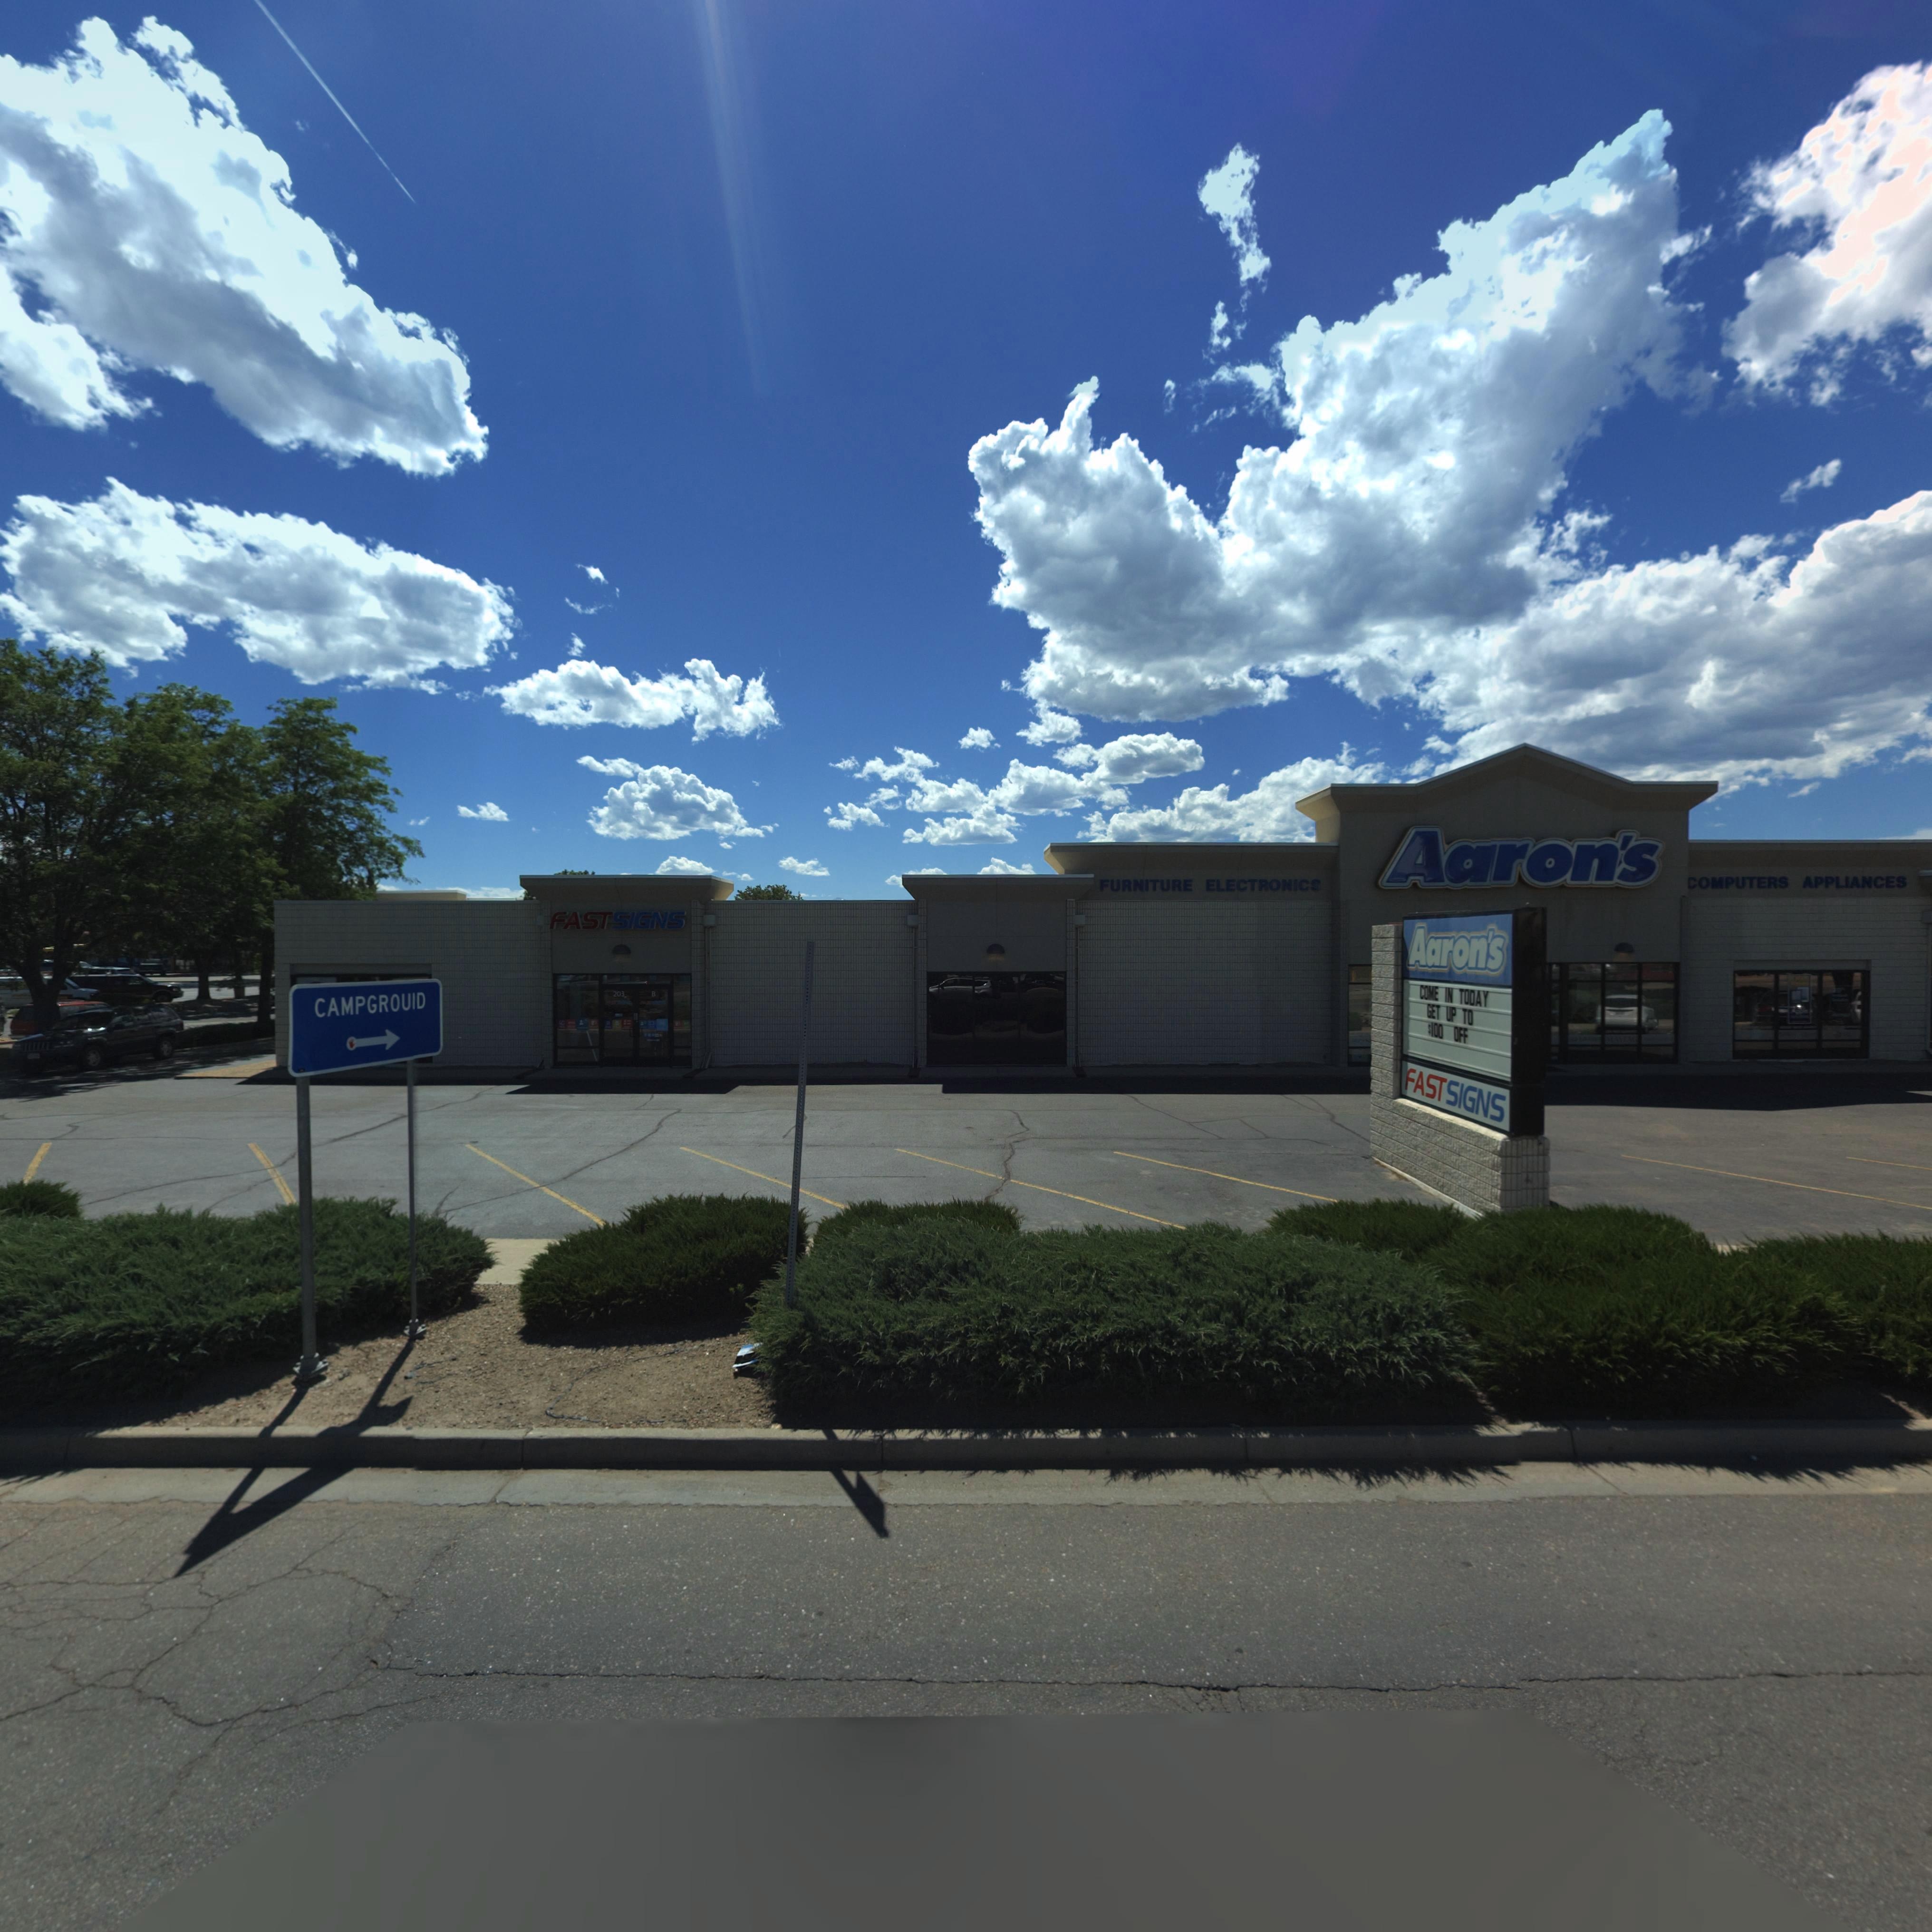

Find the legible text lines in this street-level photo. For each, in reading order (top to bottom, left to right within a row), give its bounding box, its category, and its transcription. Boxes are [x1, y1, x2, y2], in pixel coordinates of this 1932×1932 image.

[1374, 824, 1667, 891] BusinessName: Aaron*s
[549, 909, 687, 930] BusinessName: FASTSIGNS
[1403, 925, 1507, 976] BusinessName: Aaron's
[1402, 1067, 1507, 1122] BusinessName: FASTSIGNS